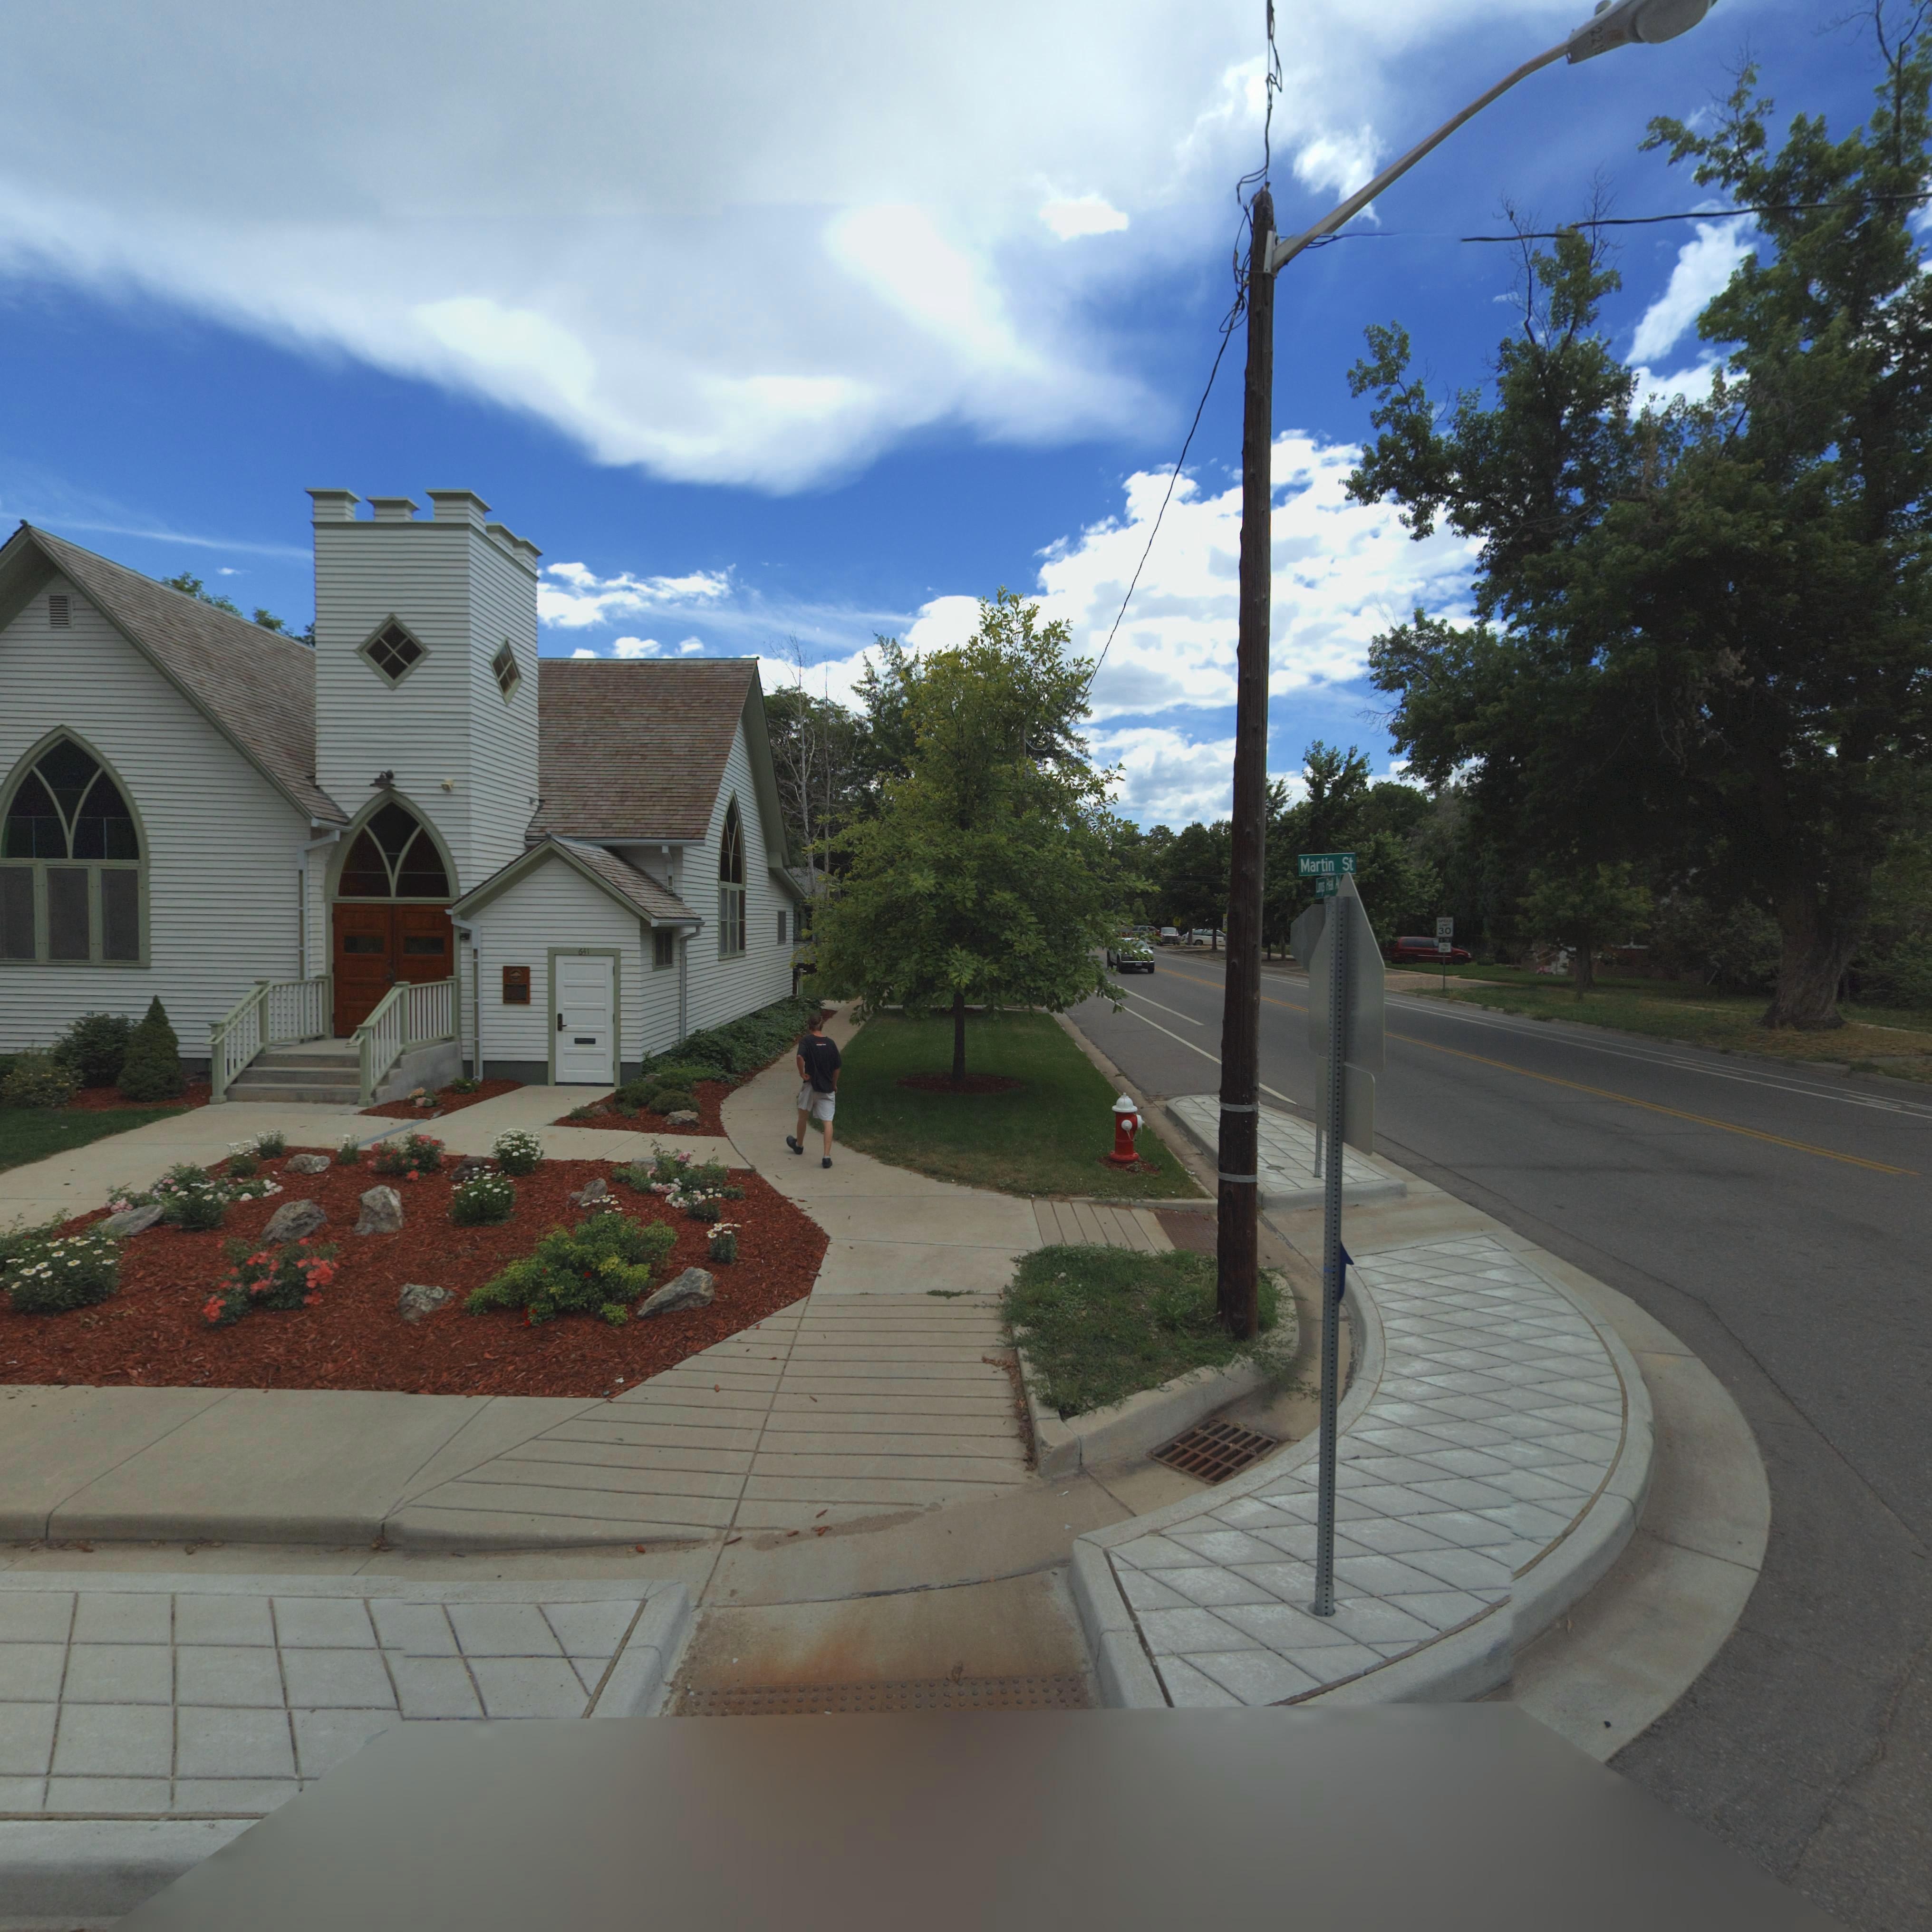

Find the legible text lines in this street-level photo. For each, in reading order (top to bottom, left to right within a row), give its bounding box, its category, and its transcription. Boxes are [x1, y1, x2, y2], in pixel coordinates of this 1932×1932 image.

[1300, 856, 1354, 873] StreetName: Martin St
[1315, 875, 1340, 896] StreetName: Longs Peak Av
[578, 948, 589, 955] StreetNumber: 641